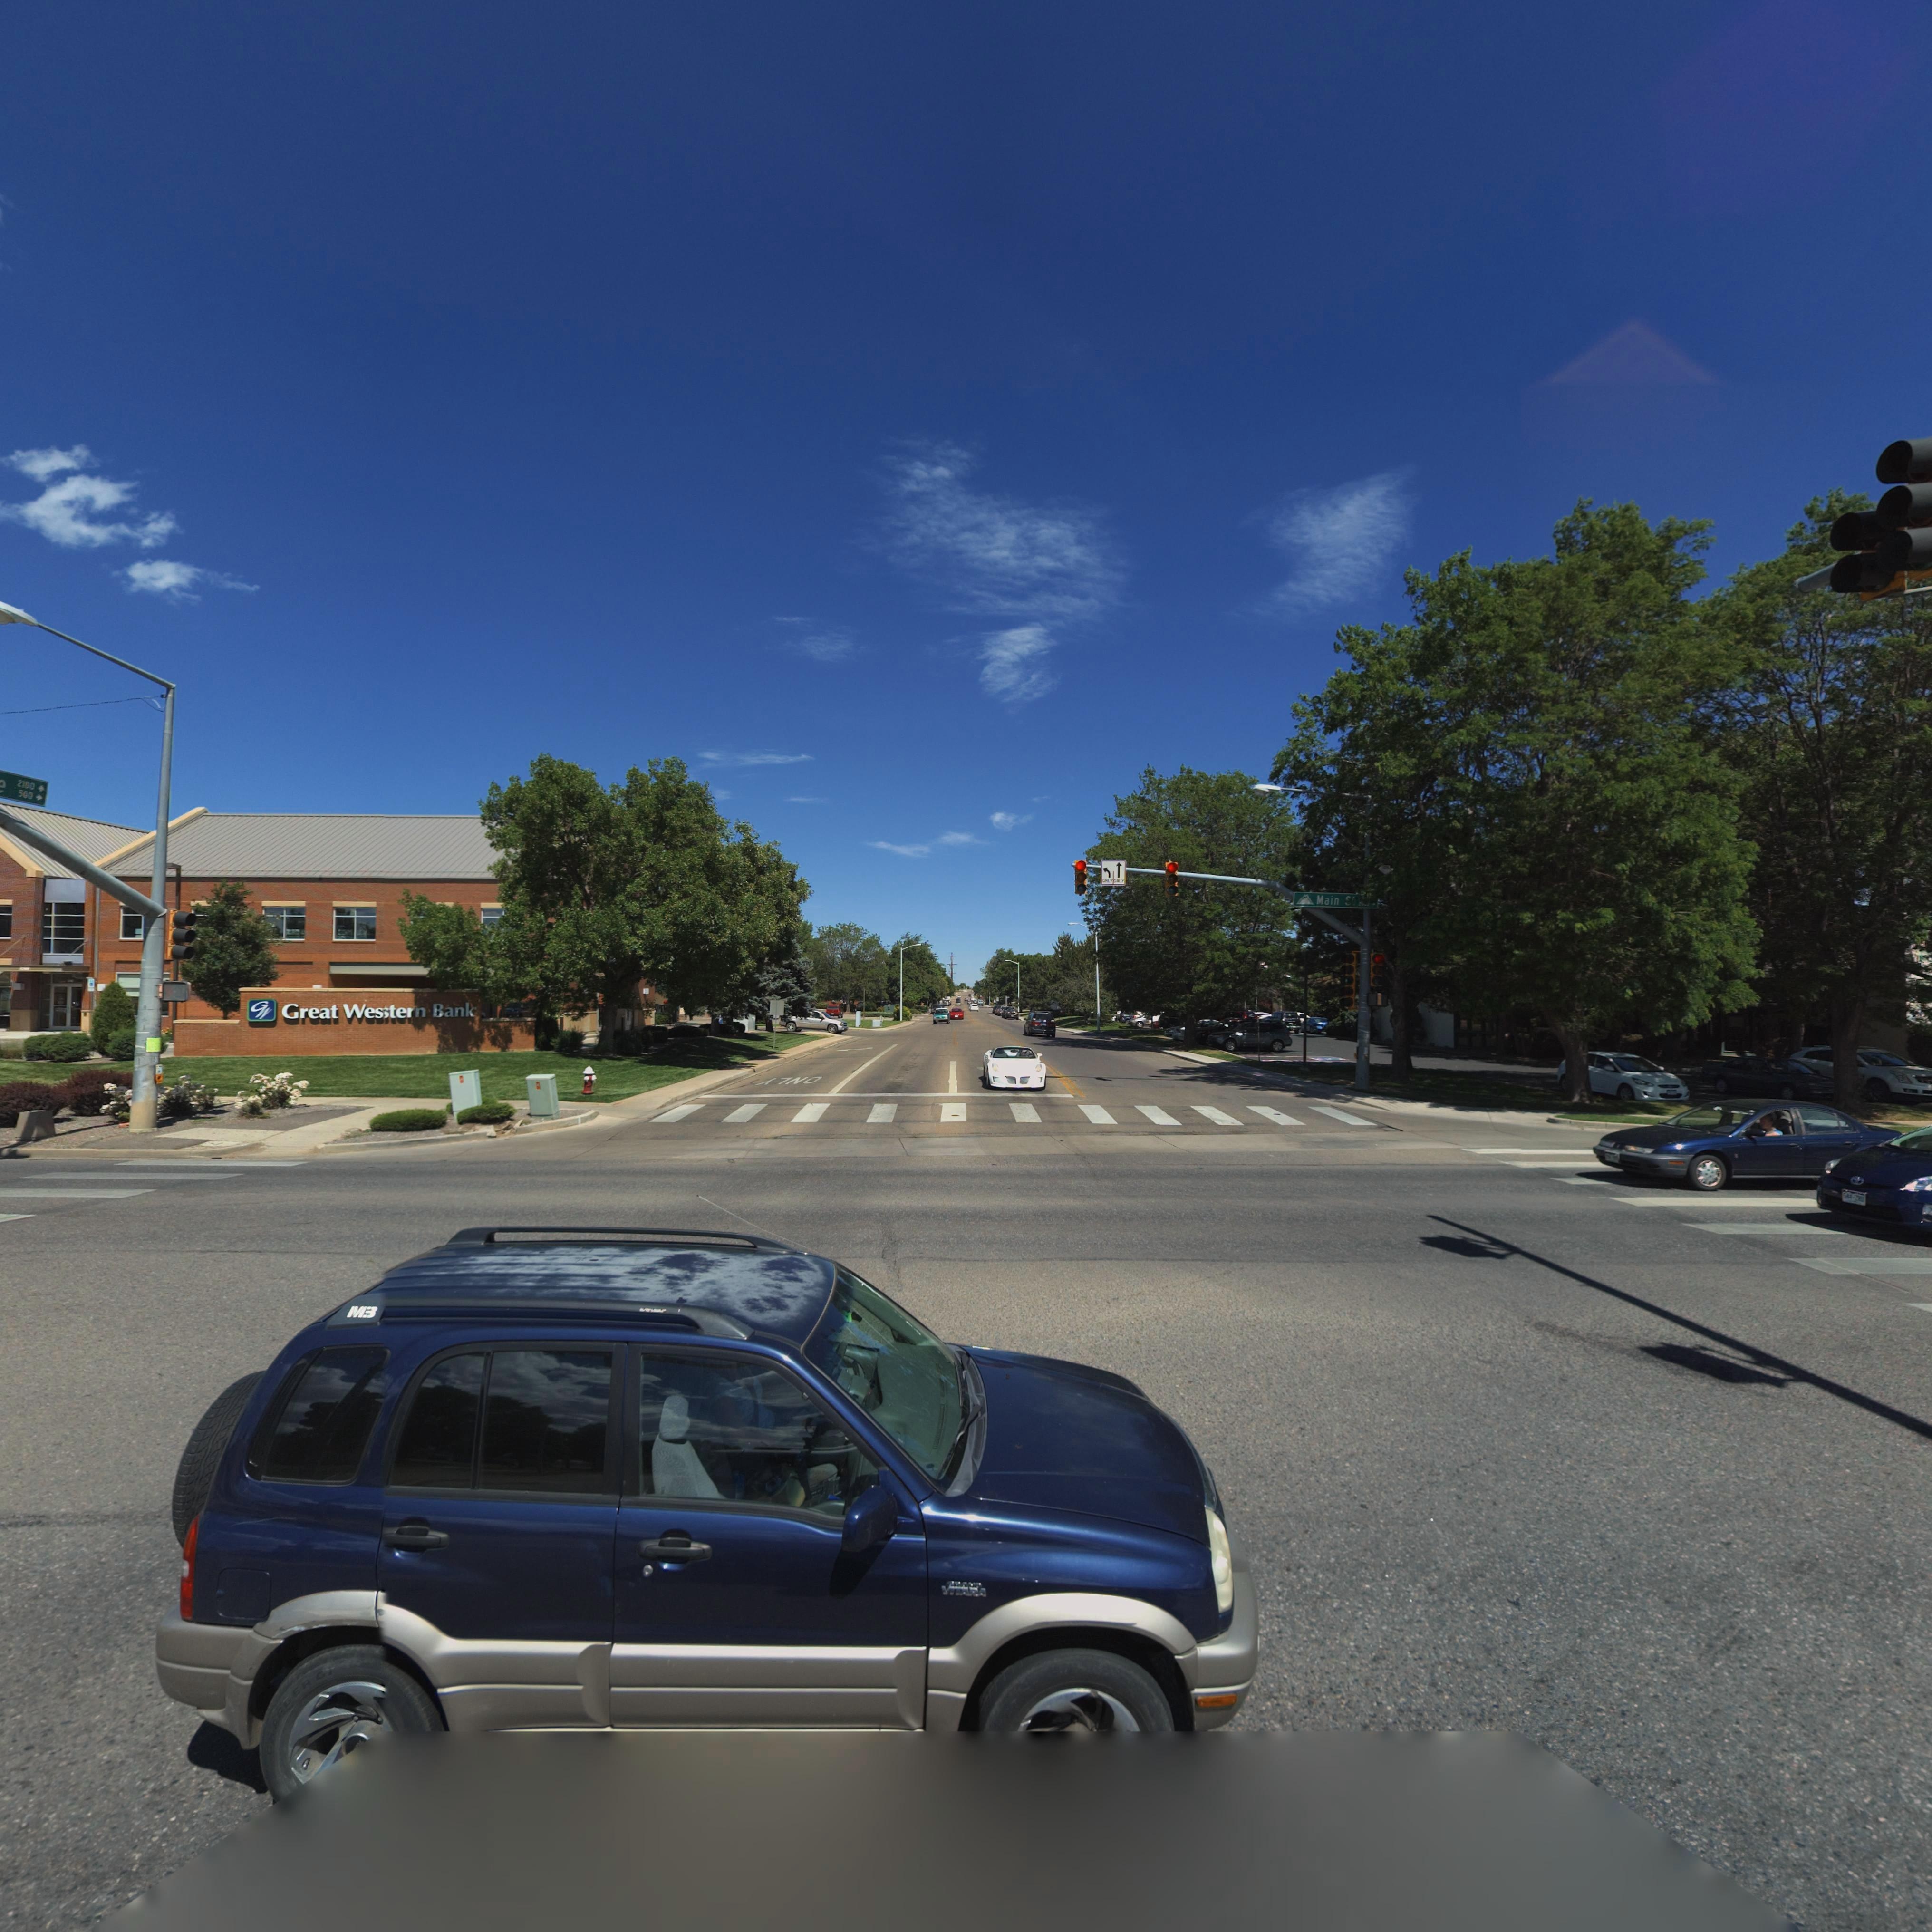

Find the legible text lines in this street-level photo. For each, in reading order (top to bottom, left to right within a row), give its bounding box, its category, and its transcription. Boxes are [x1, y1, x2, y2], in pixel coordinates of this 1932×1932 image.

[16, 779, 36, 791] StreetNumberRange: 2100
[18, 789, 44, 801] StreetNumberRange: 500 ->
[1316, 894, 1356, 906] StreetName: Main S*
[1357, 901, 1361, 906] StreetNumberRange: 2
[250, 1000, 269, 1012] BusinessName: G
[254, 1004, 272, 1019] BusinessName: W
[280, 1001, 477, 1019] BusinessName: Great Western Bank